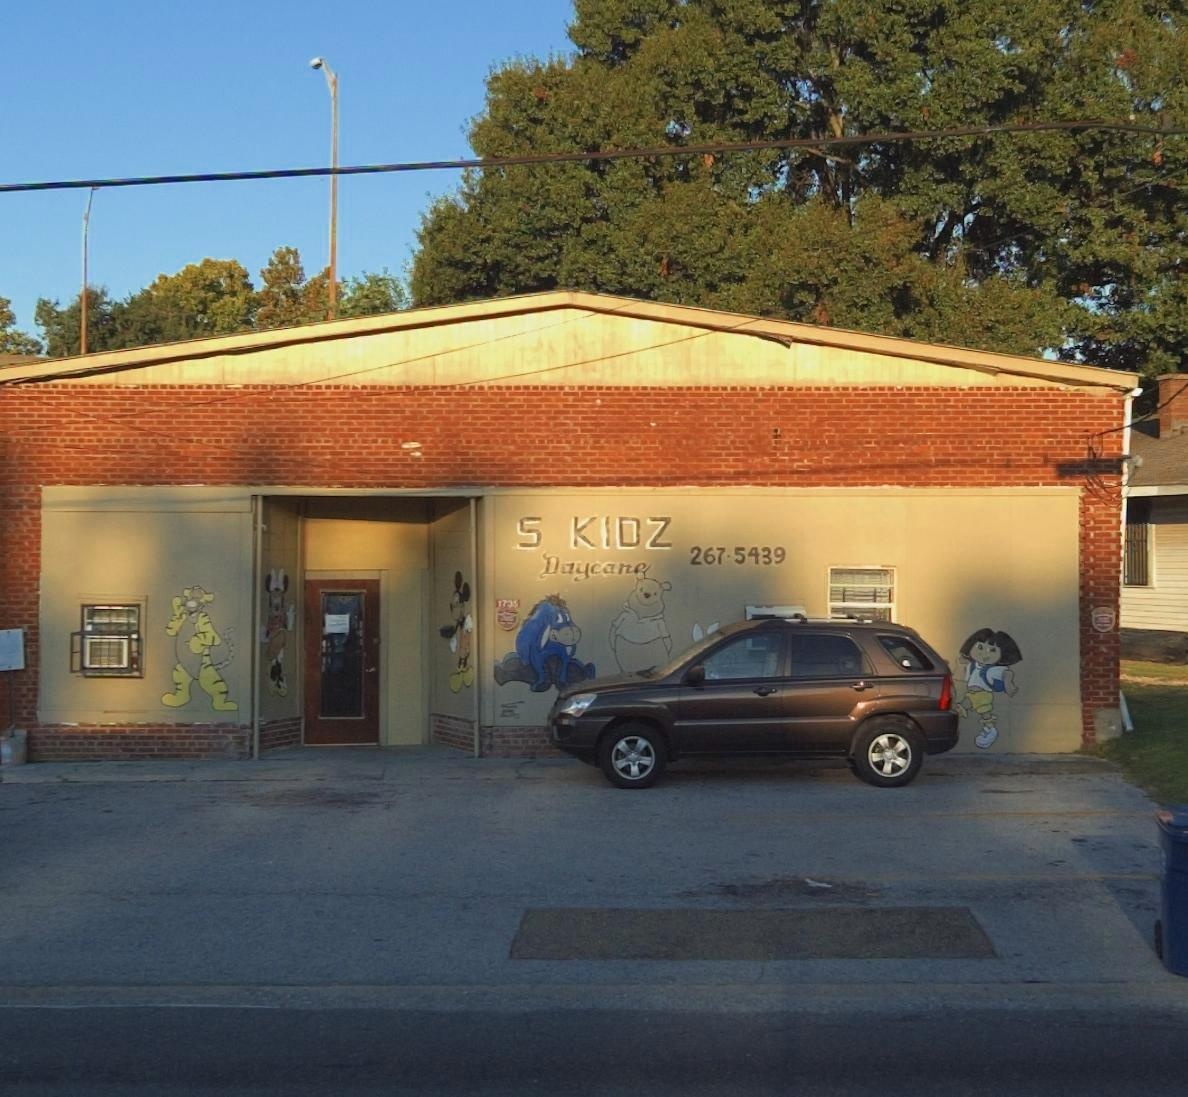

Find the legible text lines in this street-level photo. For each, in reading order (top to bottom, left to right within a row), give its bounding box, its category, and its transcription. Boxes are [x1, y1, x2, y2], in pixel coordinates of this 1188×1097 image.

[514, 514, 675, 553] BusinessName: S KIDZ
[537, 548, 654, 587] BusinessName: Daycare
[687, 543, 789, 568] None: 267-5439
[496, 598, 521, 609] StreetNumber: 1735